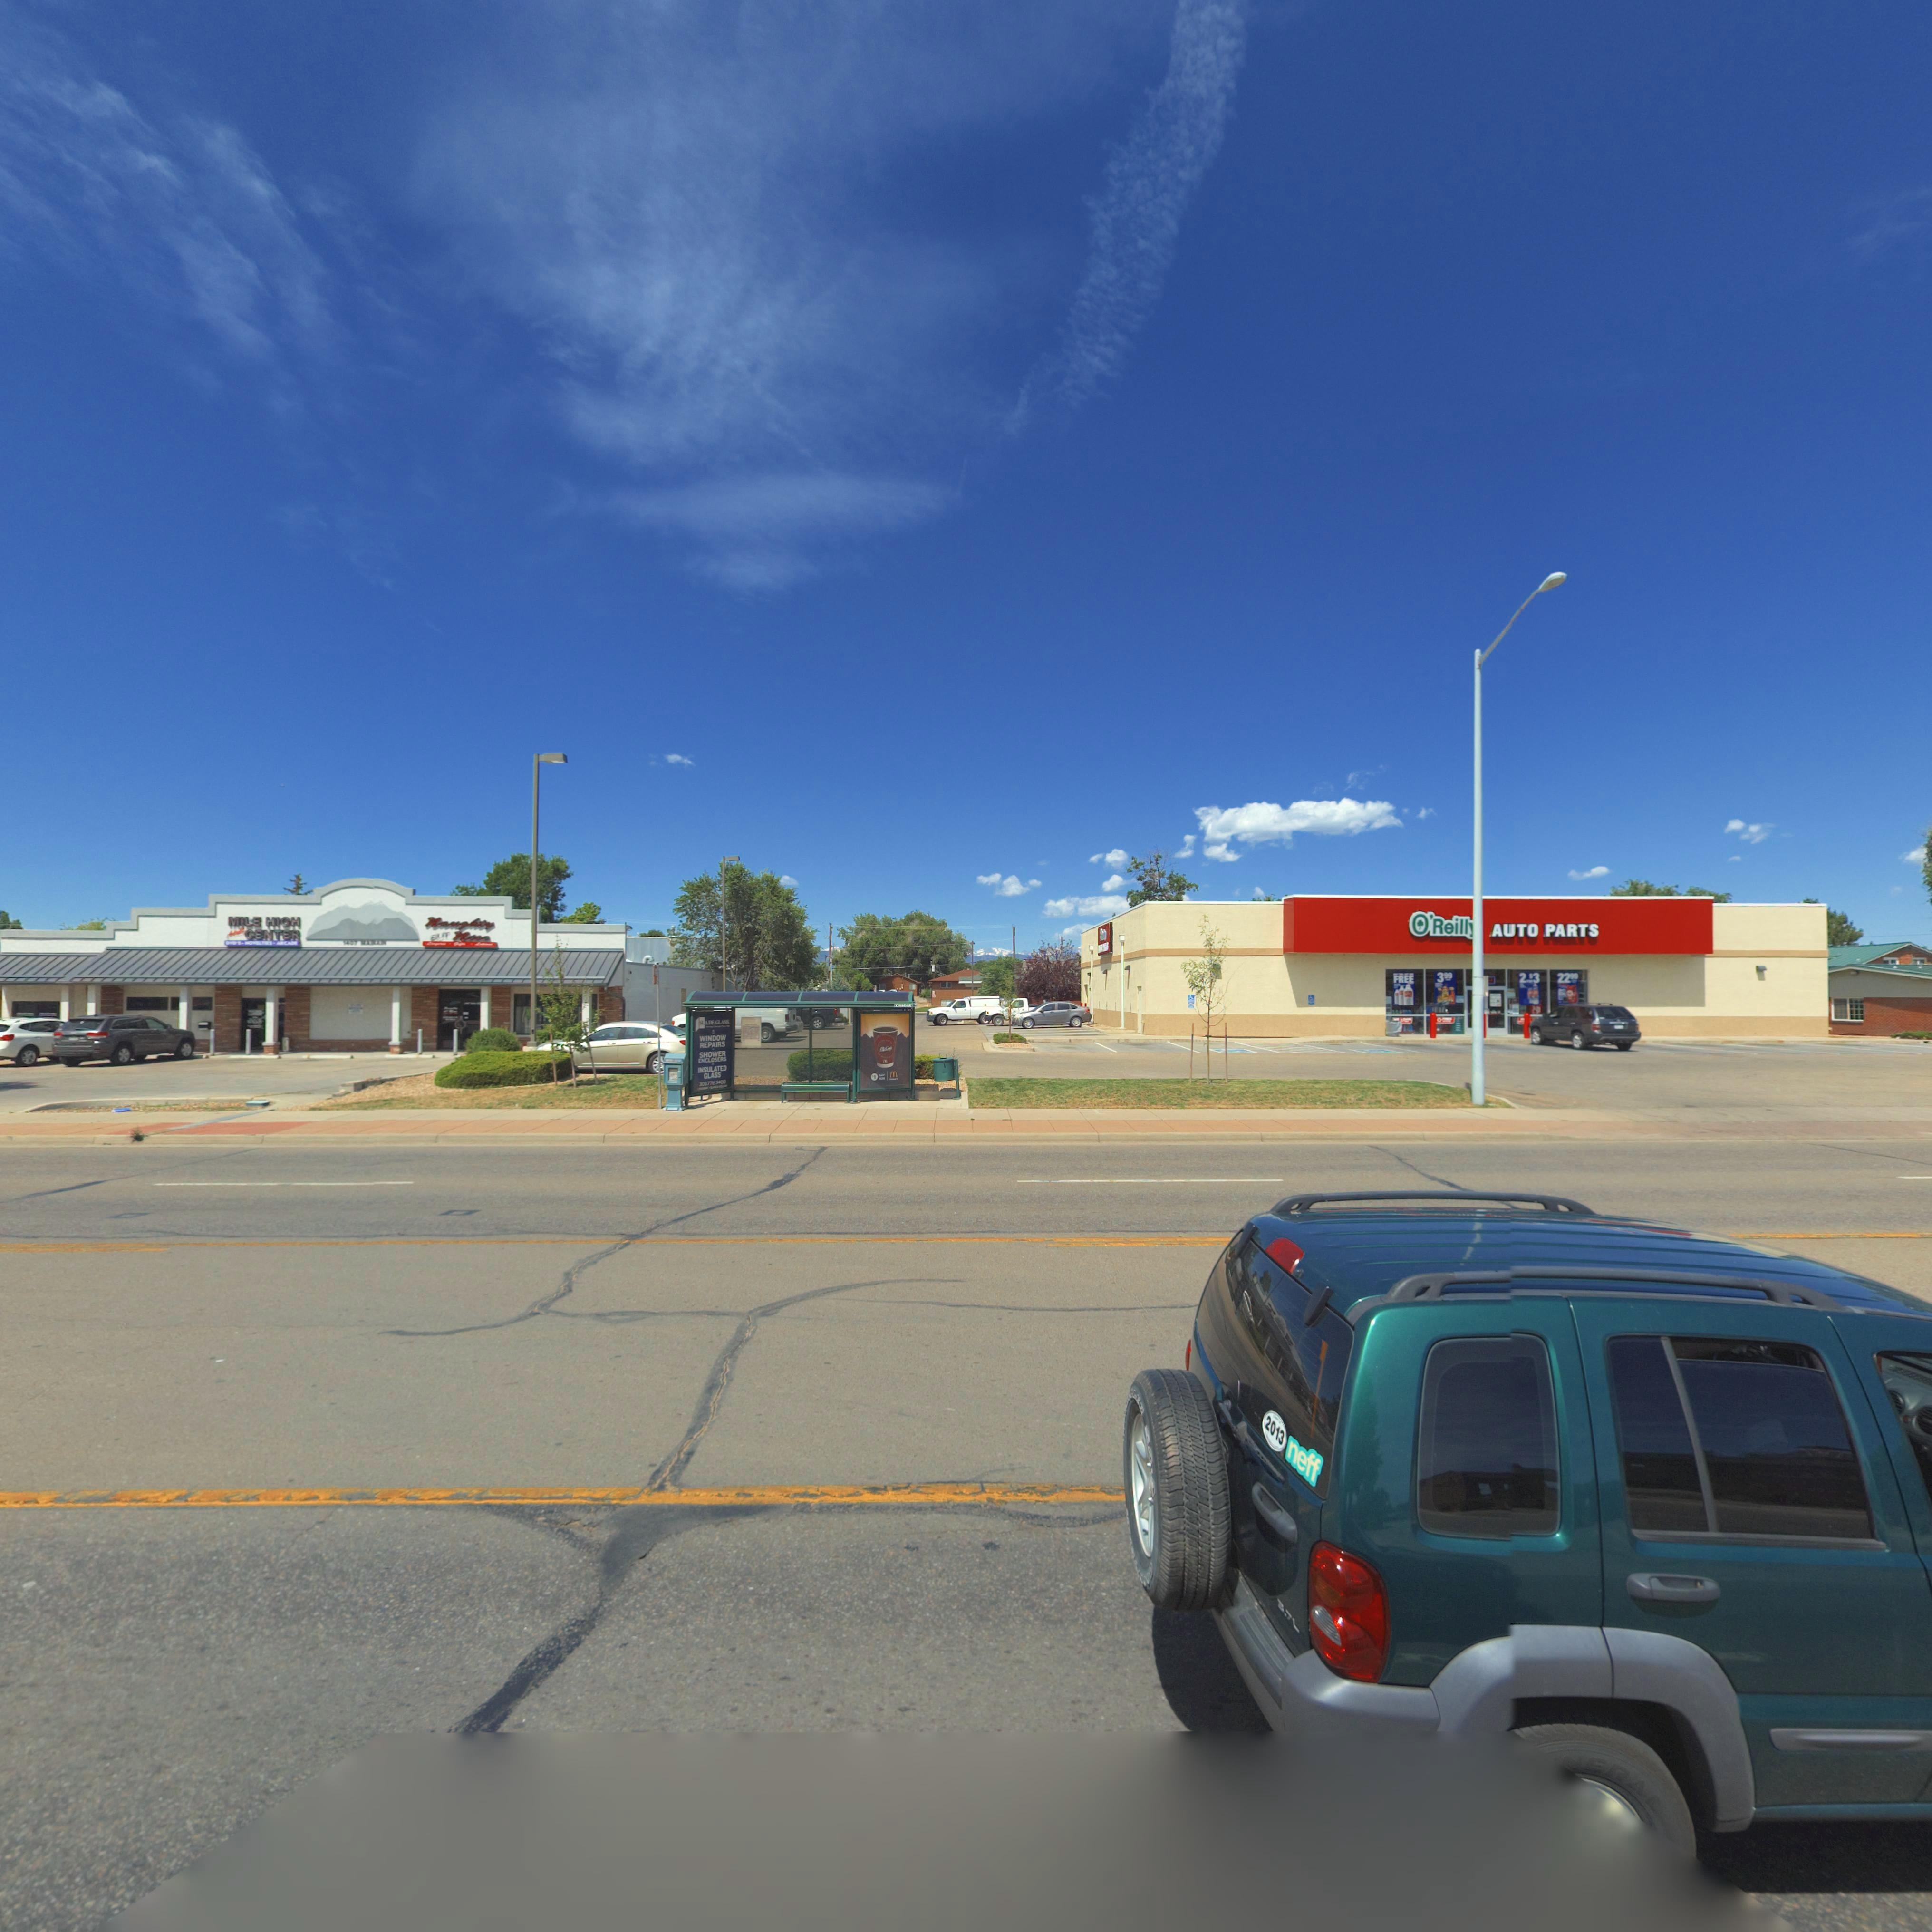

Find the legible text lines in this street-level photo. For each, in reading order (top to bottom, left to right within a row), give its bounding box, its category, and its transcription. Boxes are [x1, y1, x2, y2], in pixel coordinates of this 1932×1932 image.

[228, 916, 301, 927] BusinessName: MILE HIGH
[424, 915, 495, 930] BusinessName: na*ghty
[1409, 910, 1600, 939] BusinessName: *'Reill* AUTO PARTS
[245, 929, 301, 940] BusinessName: CENTER
[429, 930, 451, 941] BusinessName: BUT
[452, 930, 492, 941] BusinessName: ni**
[342, 939, 359, 945] StreetNumber: 1407
[360, 938, 387, 945] StreetName: MA**N